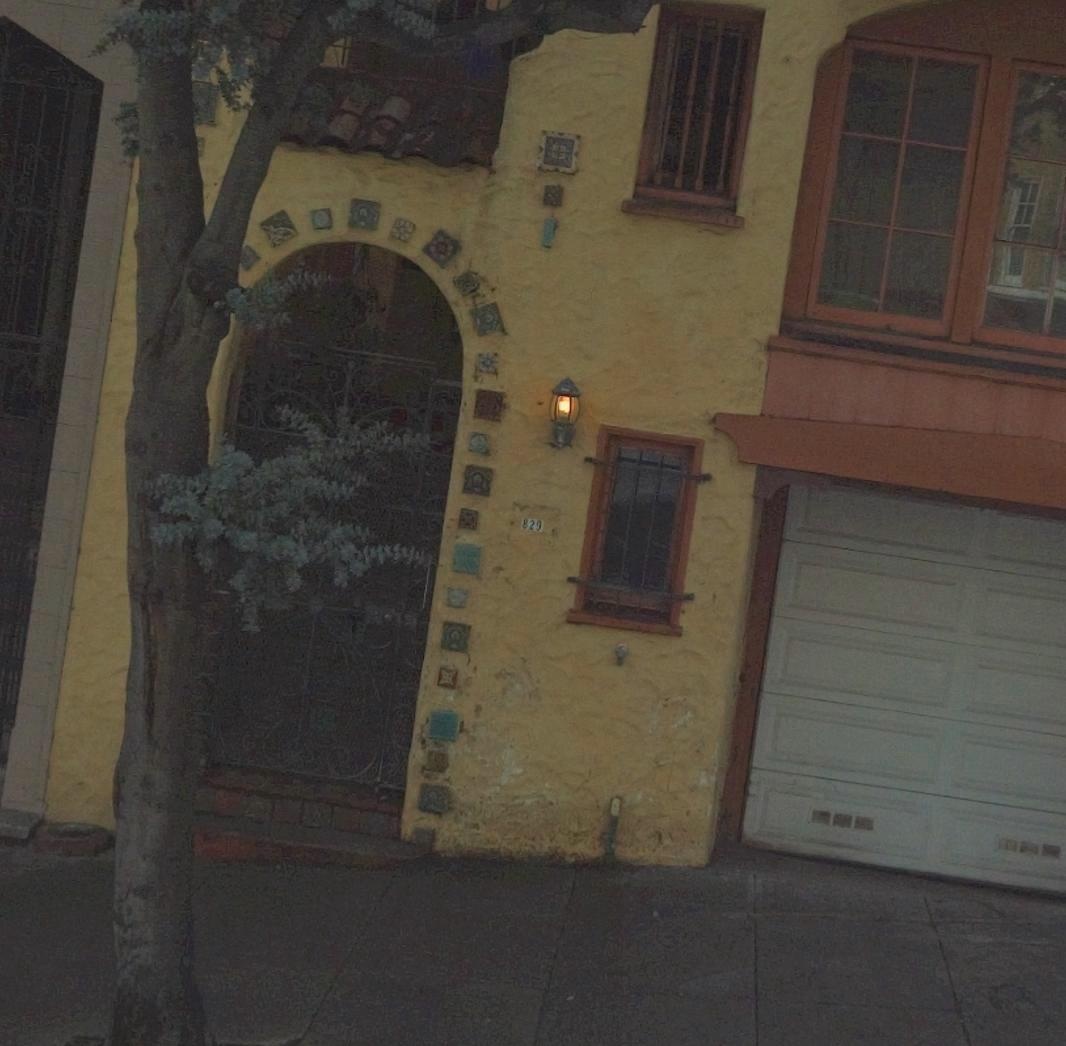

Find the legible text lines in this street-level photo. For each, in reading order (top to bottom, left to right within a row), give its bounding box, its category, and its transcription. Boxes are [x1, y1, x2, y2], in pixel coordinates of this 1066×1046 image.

[520, 516, 544, 534] StreetNumber: 829